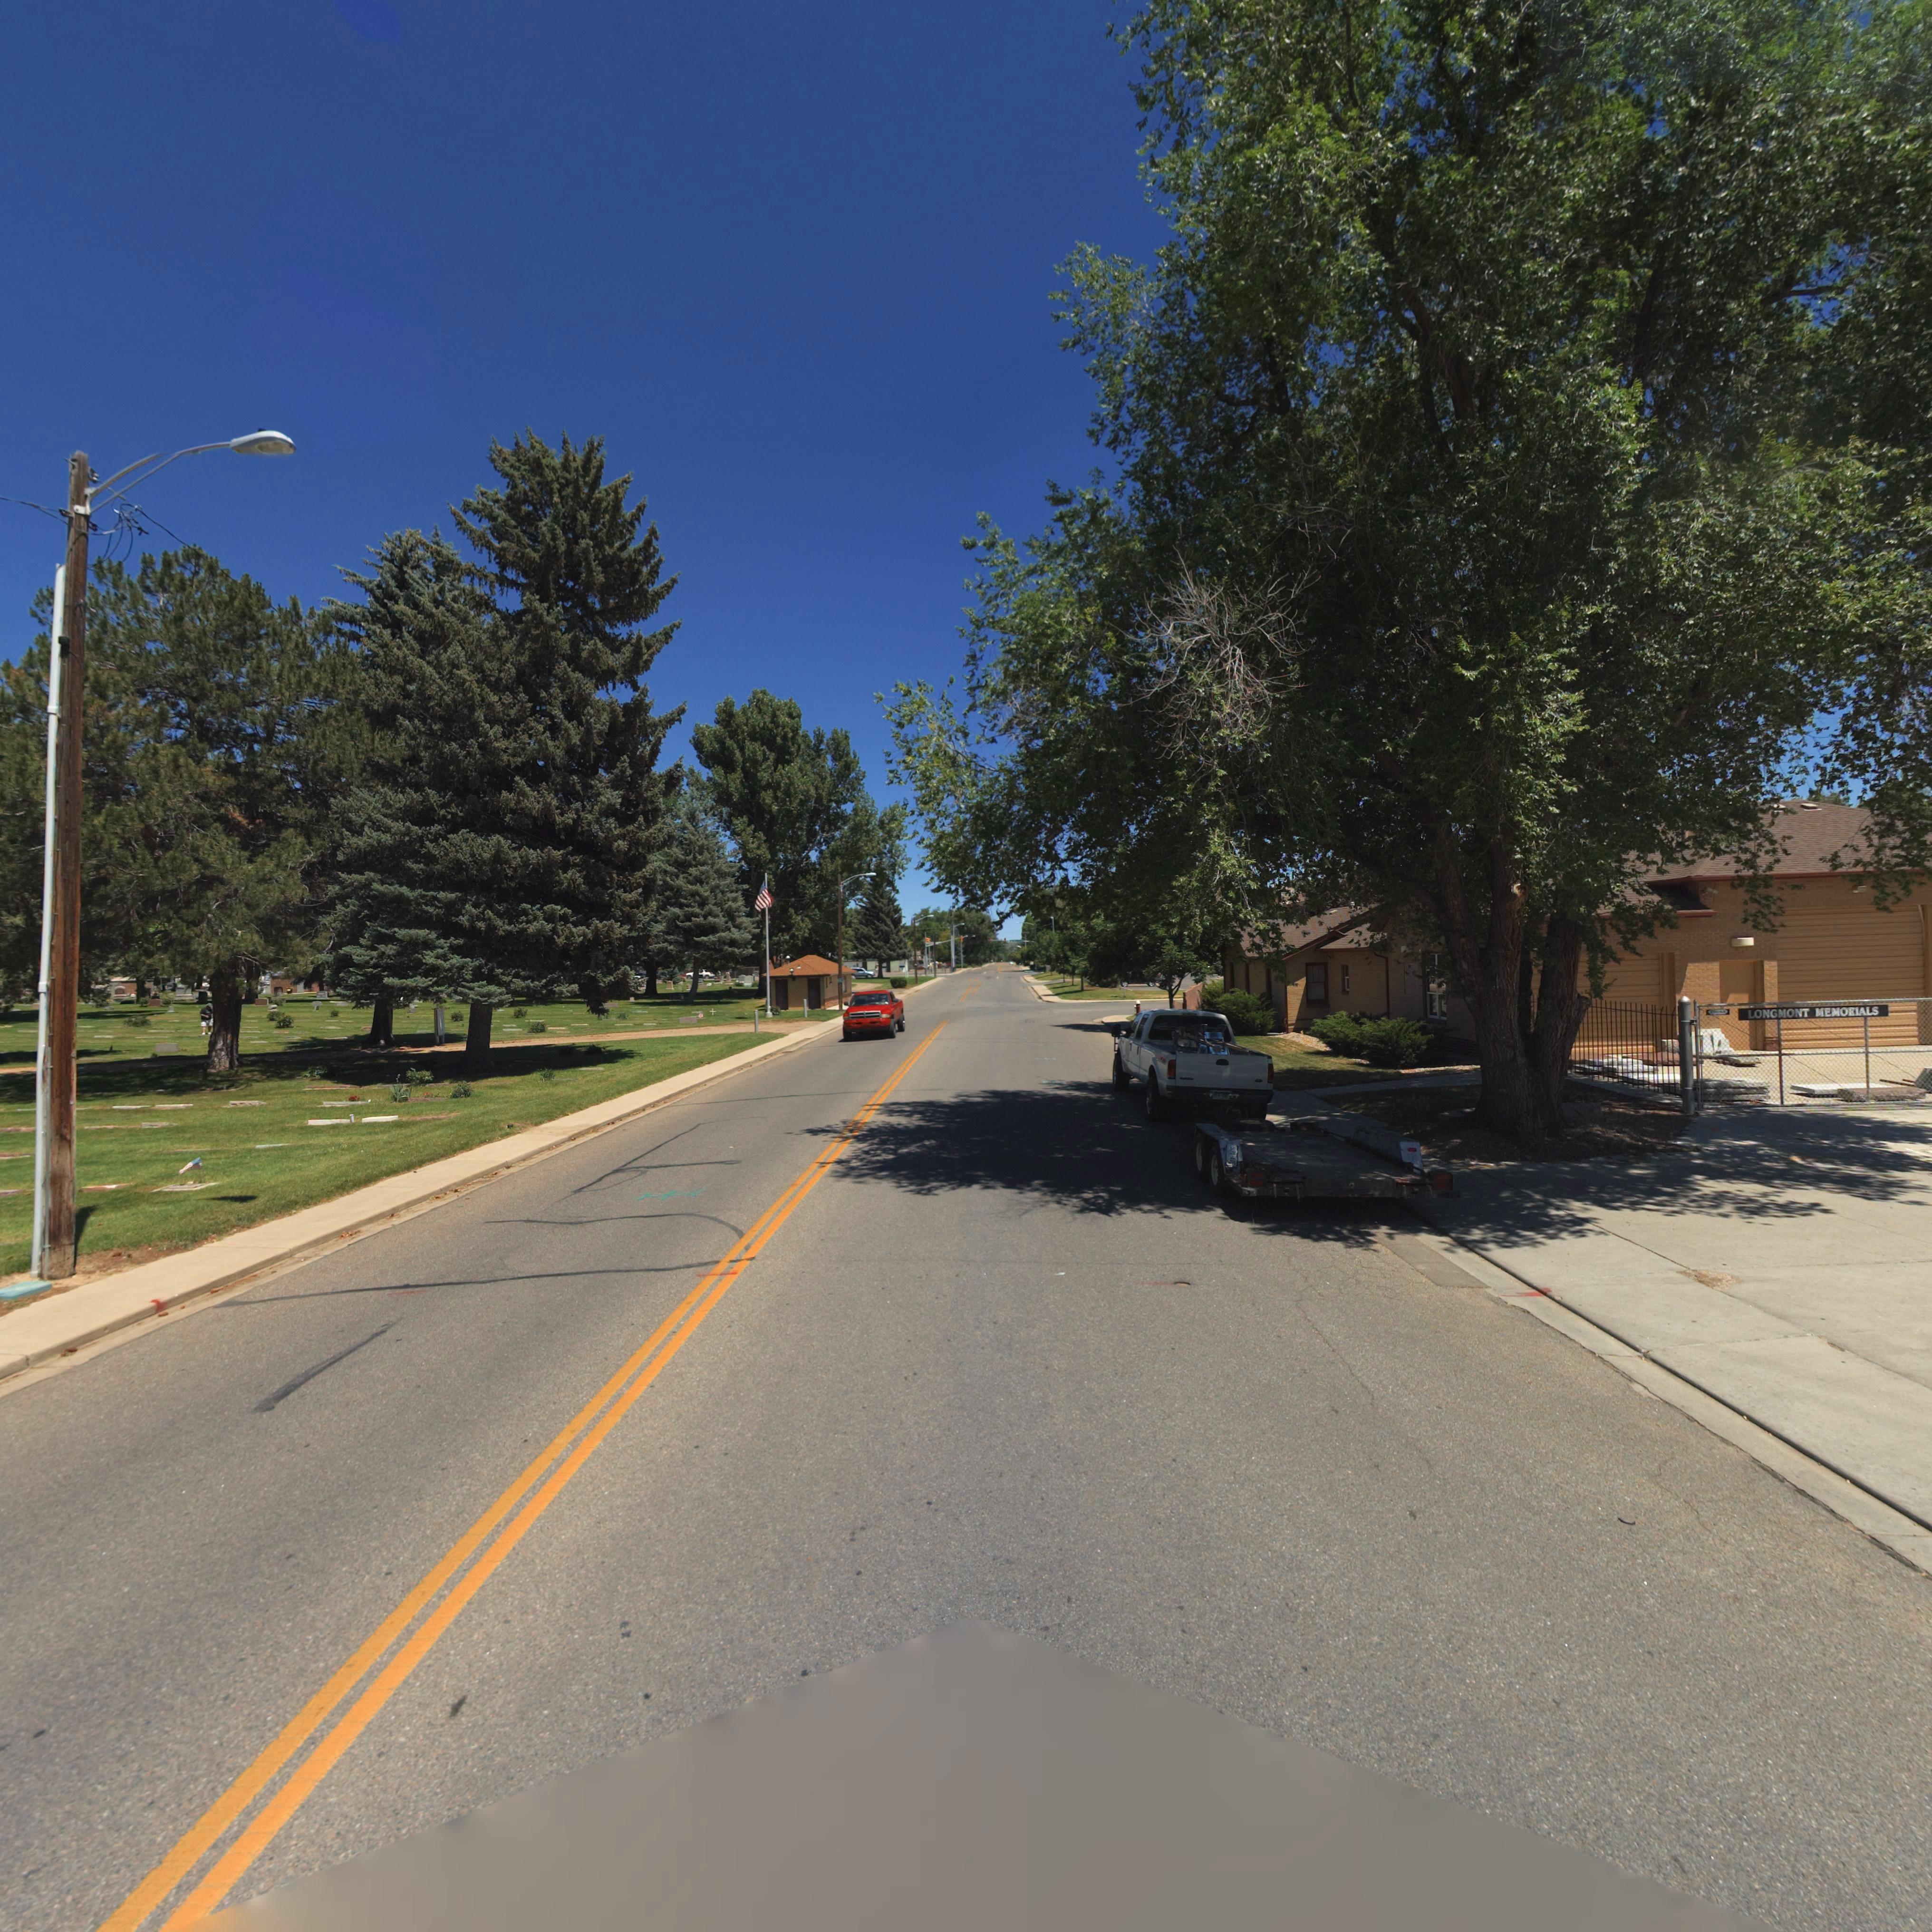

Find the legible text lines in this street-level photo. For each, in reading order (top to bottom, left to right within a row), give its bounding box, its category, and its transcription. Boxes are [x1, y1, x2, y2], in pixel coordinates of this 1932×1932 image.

[1747, 1005, 1879, 1019] BusinessName: LONGMONT MEMORIALS